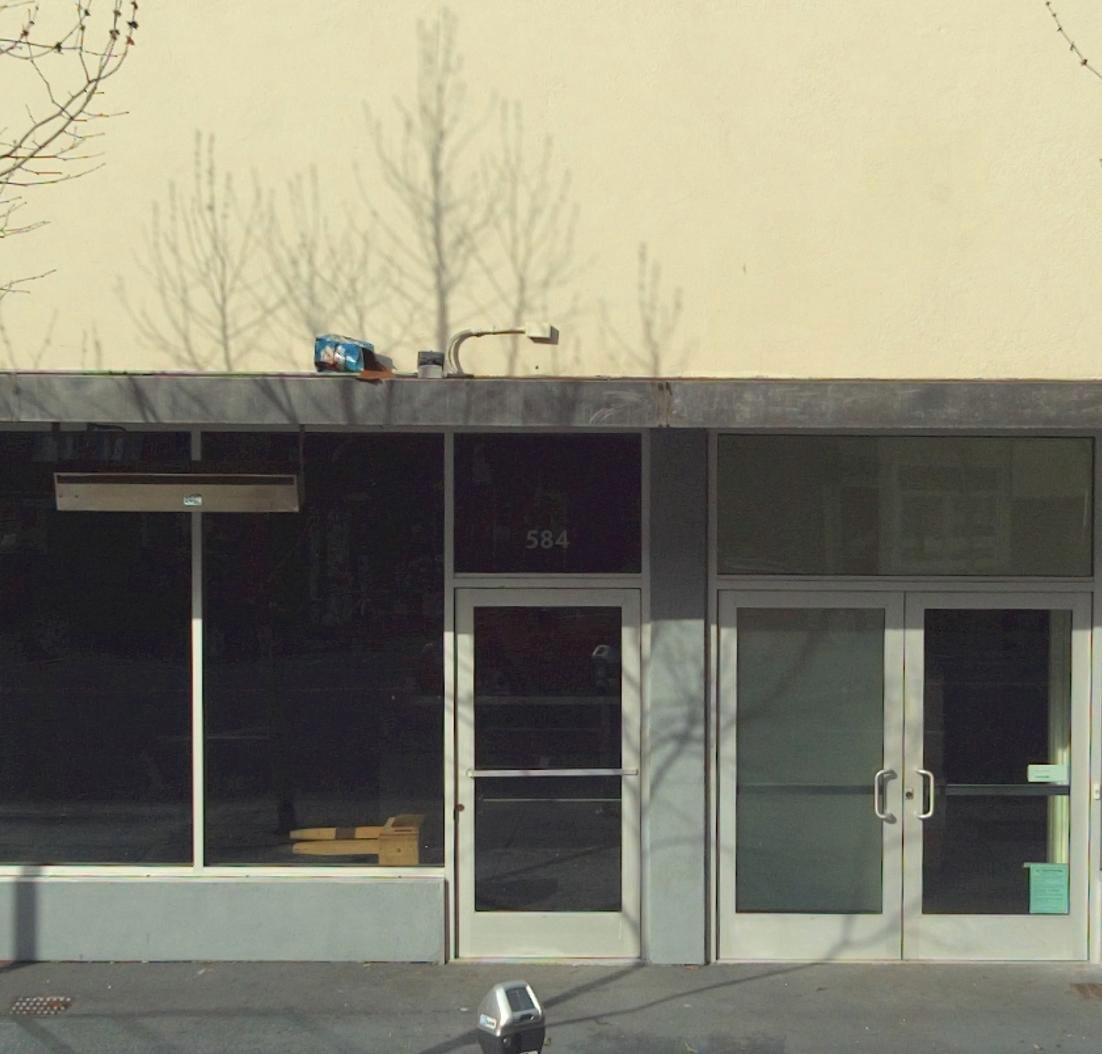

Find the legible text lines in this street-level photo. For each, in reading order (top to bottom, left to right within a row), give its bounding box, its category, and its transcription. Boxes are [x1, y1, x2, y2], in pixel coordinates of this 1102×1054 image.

[525, 529, 570, 550] StreetNumber: 584